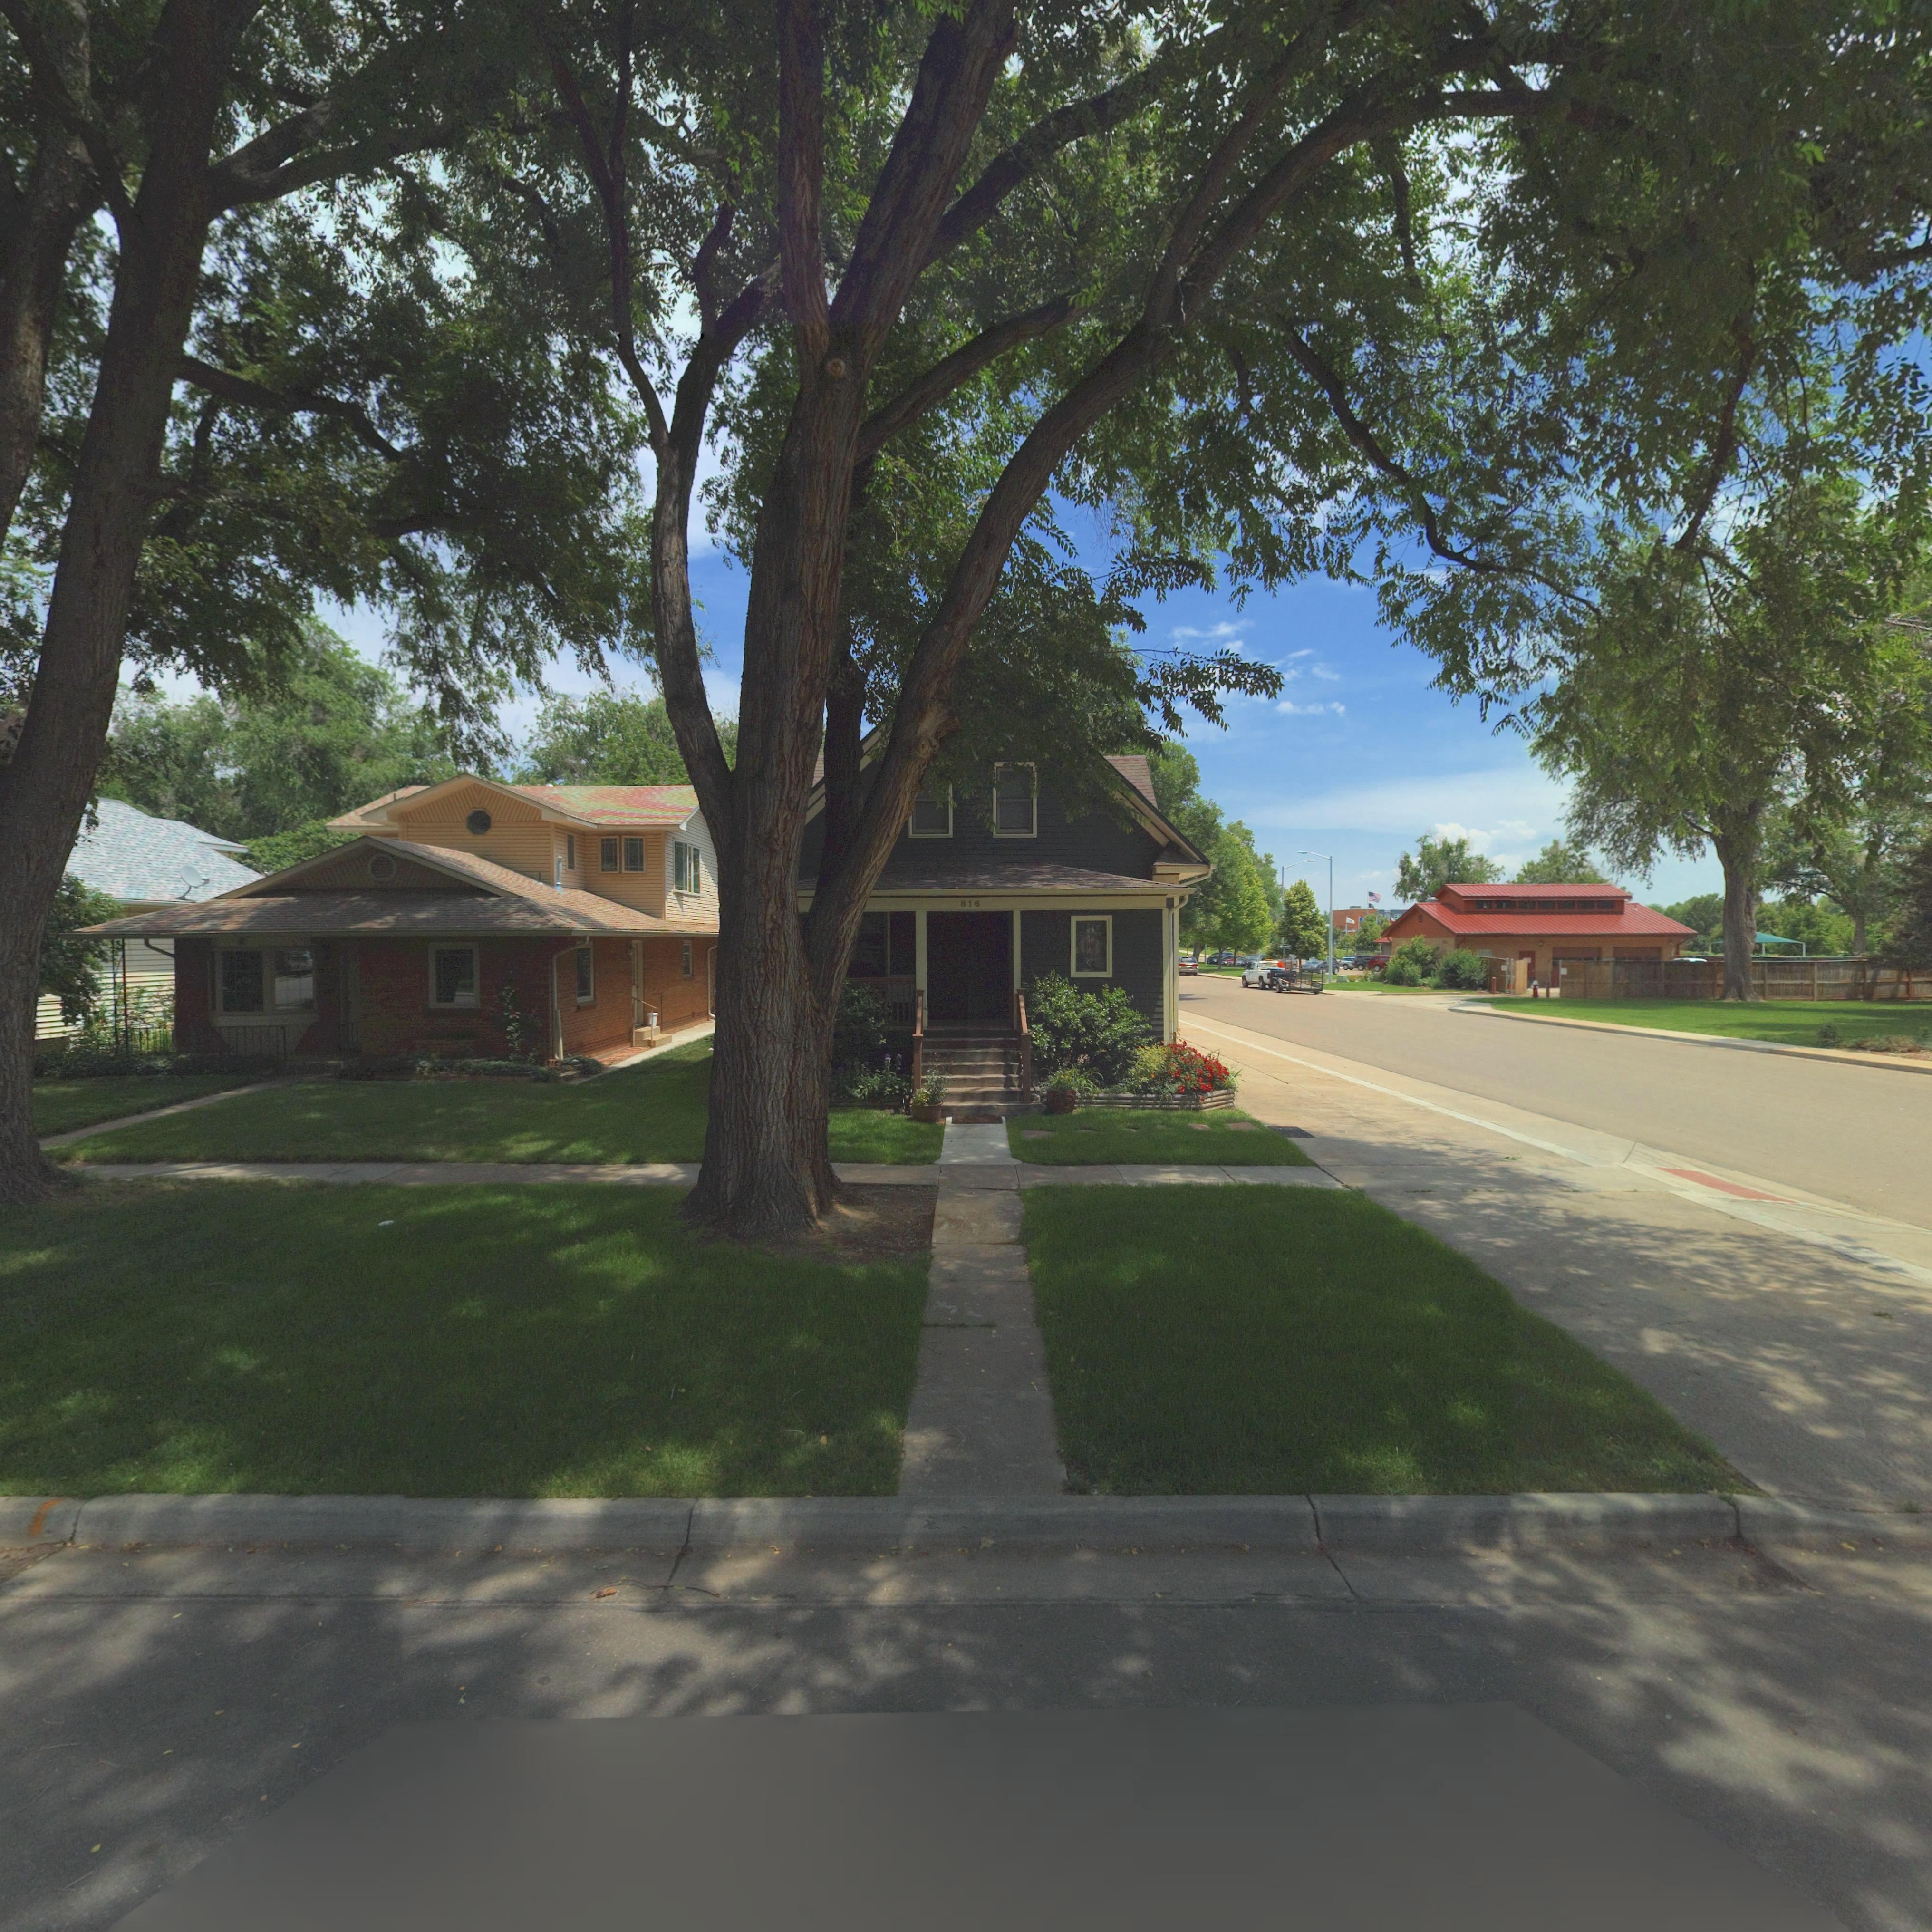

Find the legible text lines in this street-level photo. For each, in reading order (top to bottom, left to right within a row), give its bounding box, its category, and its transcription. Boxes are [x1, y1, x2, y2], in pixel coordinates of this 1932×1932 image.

[960, 900, 980, 907] StreetNumber: 816